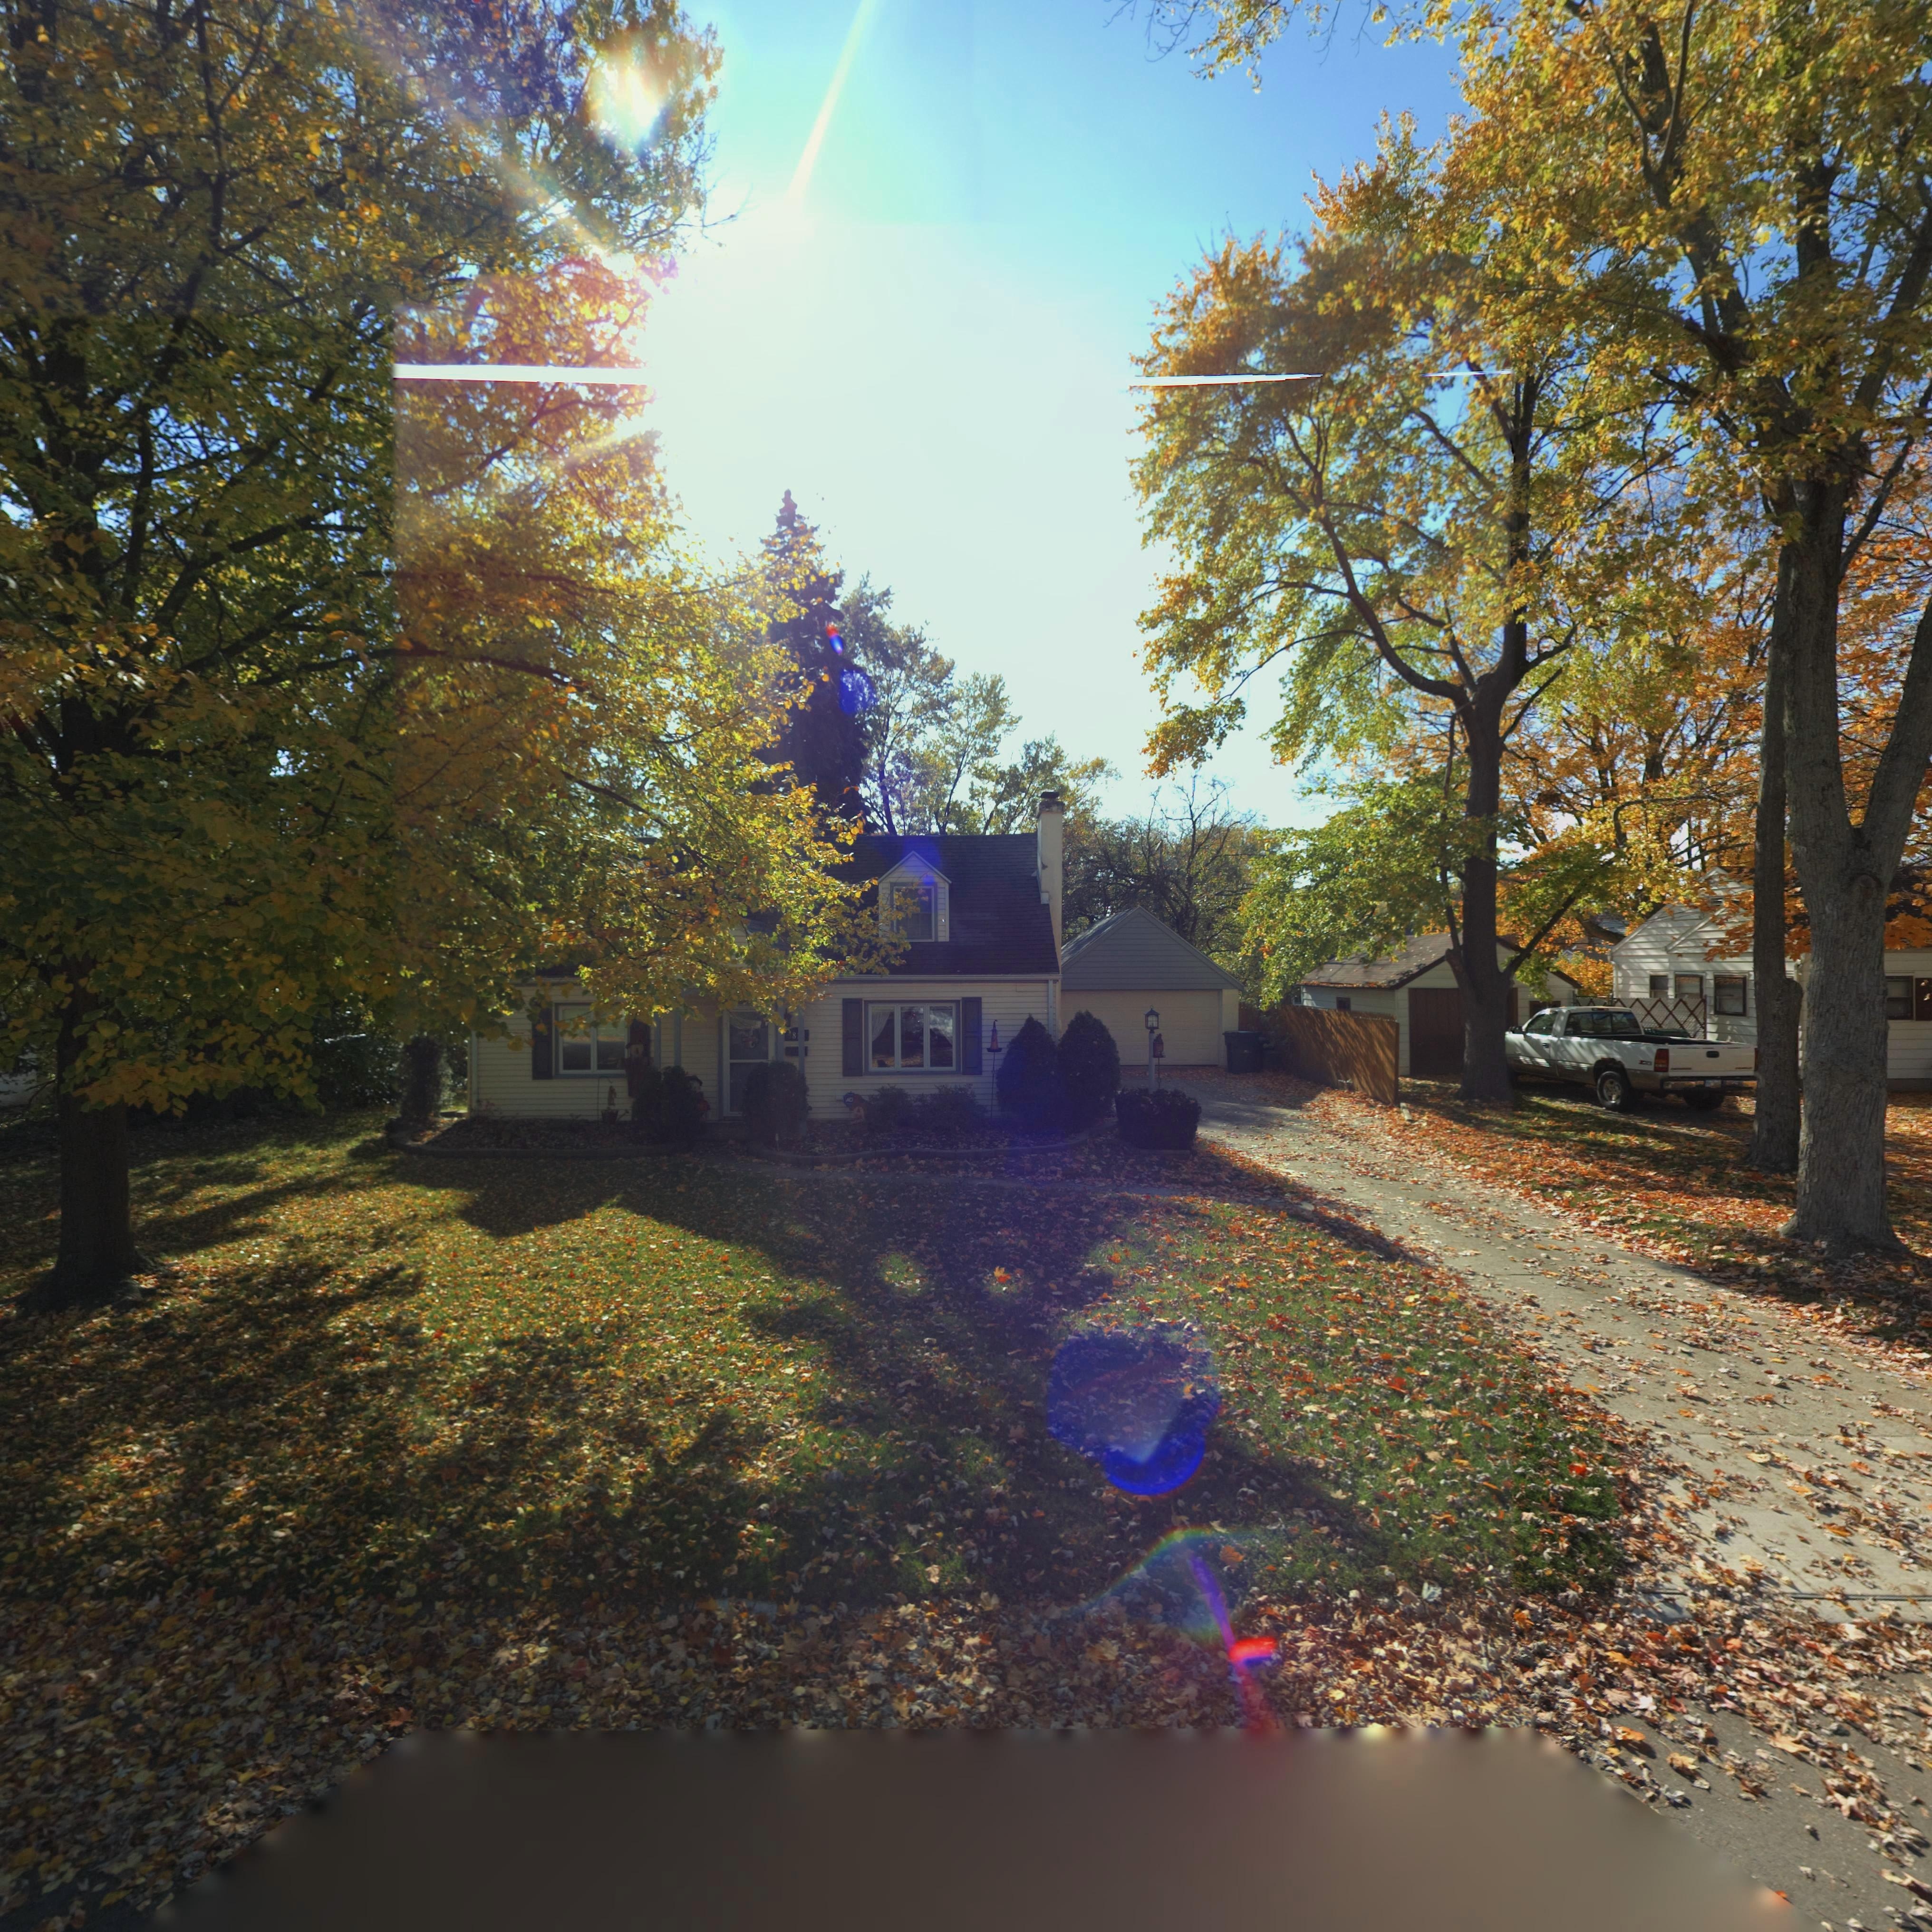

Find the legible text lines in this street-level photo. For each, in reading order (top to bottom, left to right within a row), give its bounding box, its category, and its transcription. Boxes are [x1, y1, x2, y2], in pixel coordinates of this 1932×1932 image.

[792, 1031, 797, 1040] StreetNumber: 8